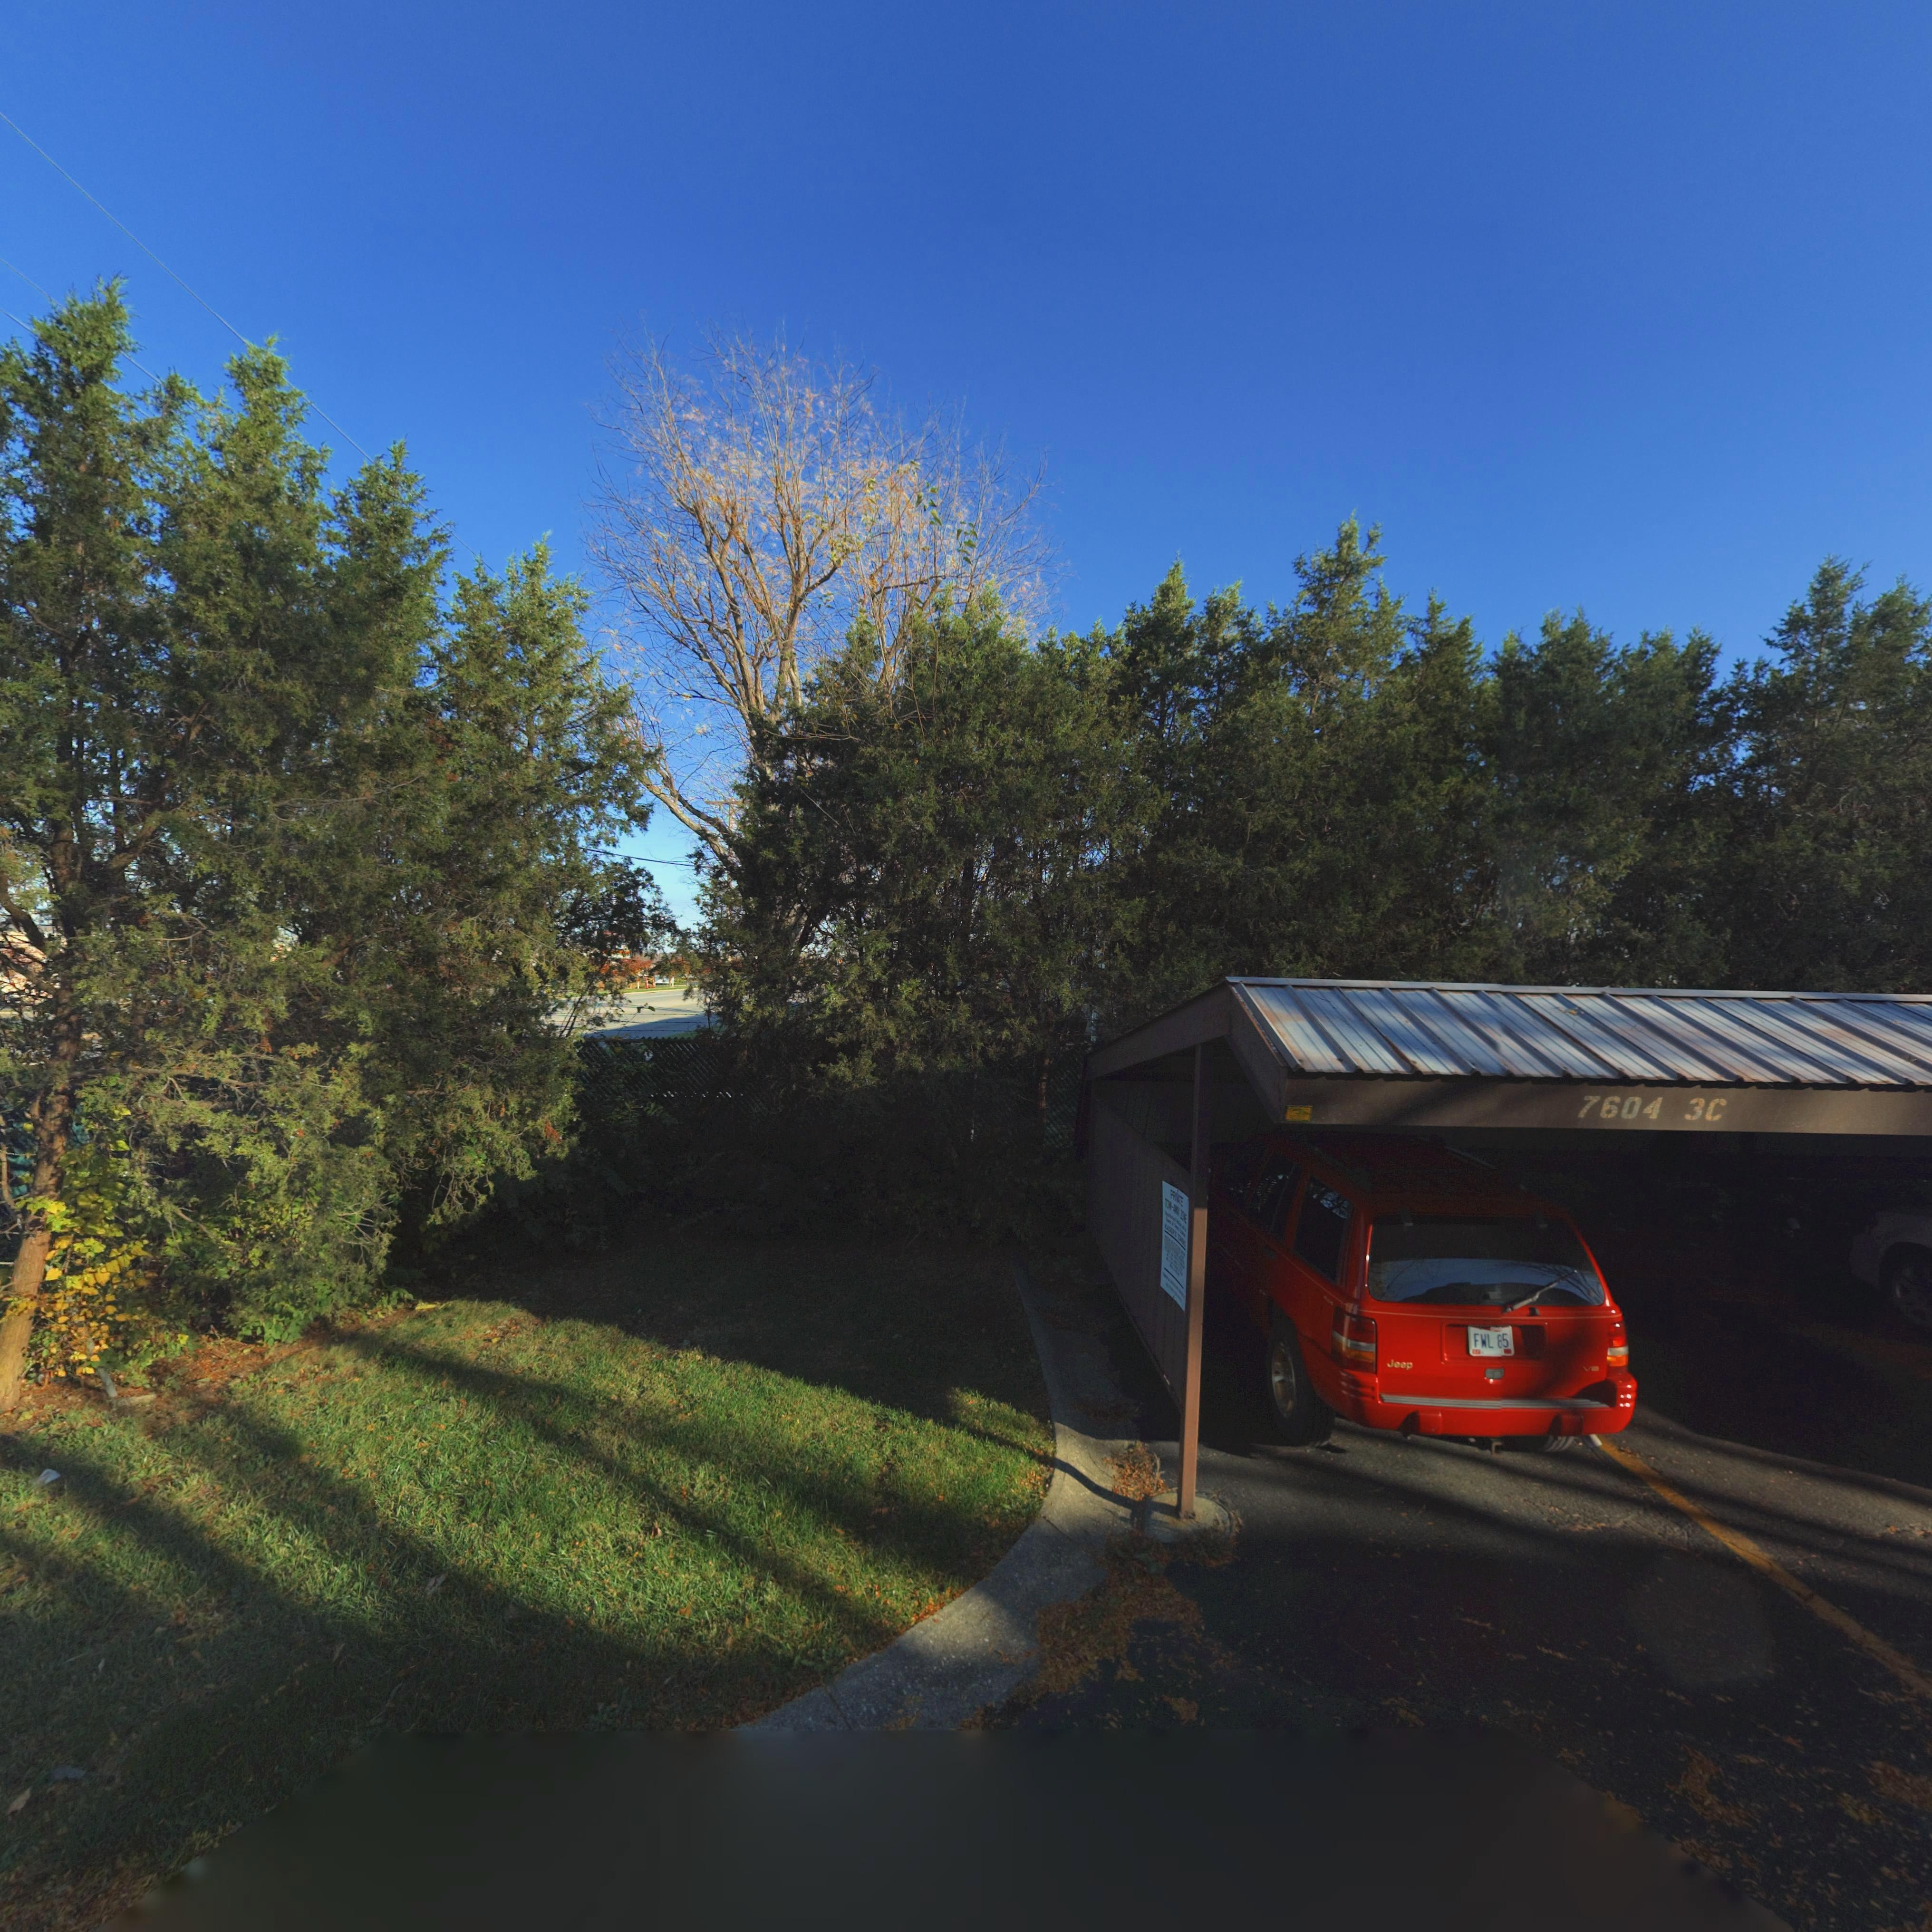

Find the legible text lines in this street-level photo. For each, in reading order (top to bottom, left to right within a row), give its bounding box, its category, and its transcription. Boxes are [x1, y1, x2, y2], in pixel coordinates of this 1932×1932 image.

[1575, 1094, 1665, 1120] StreetNumber: 7604